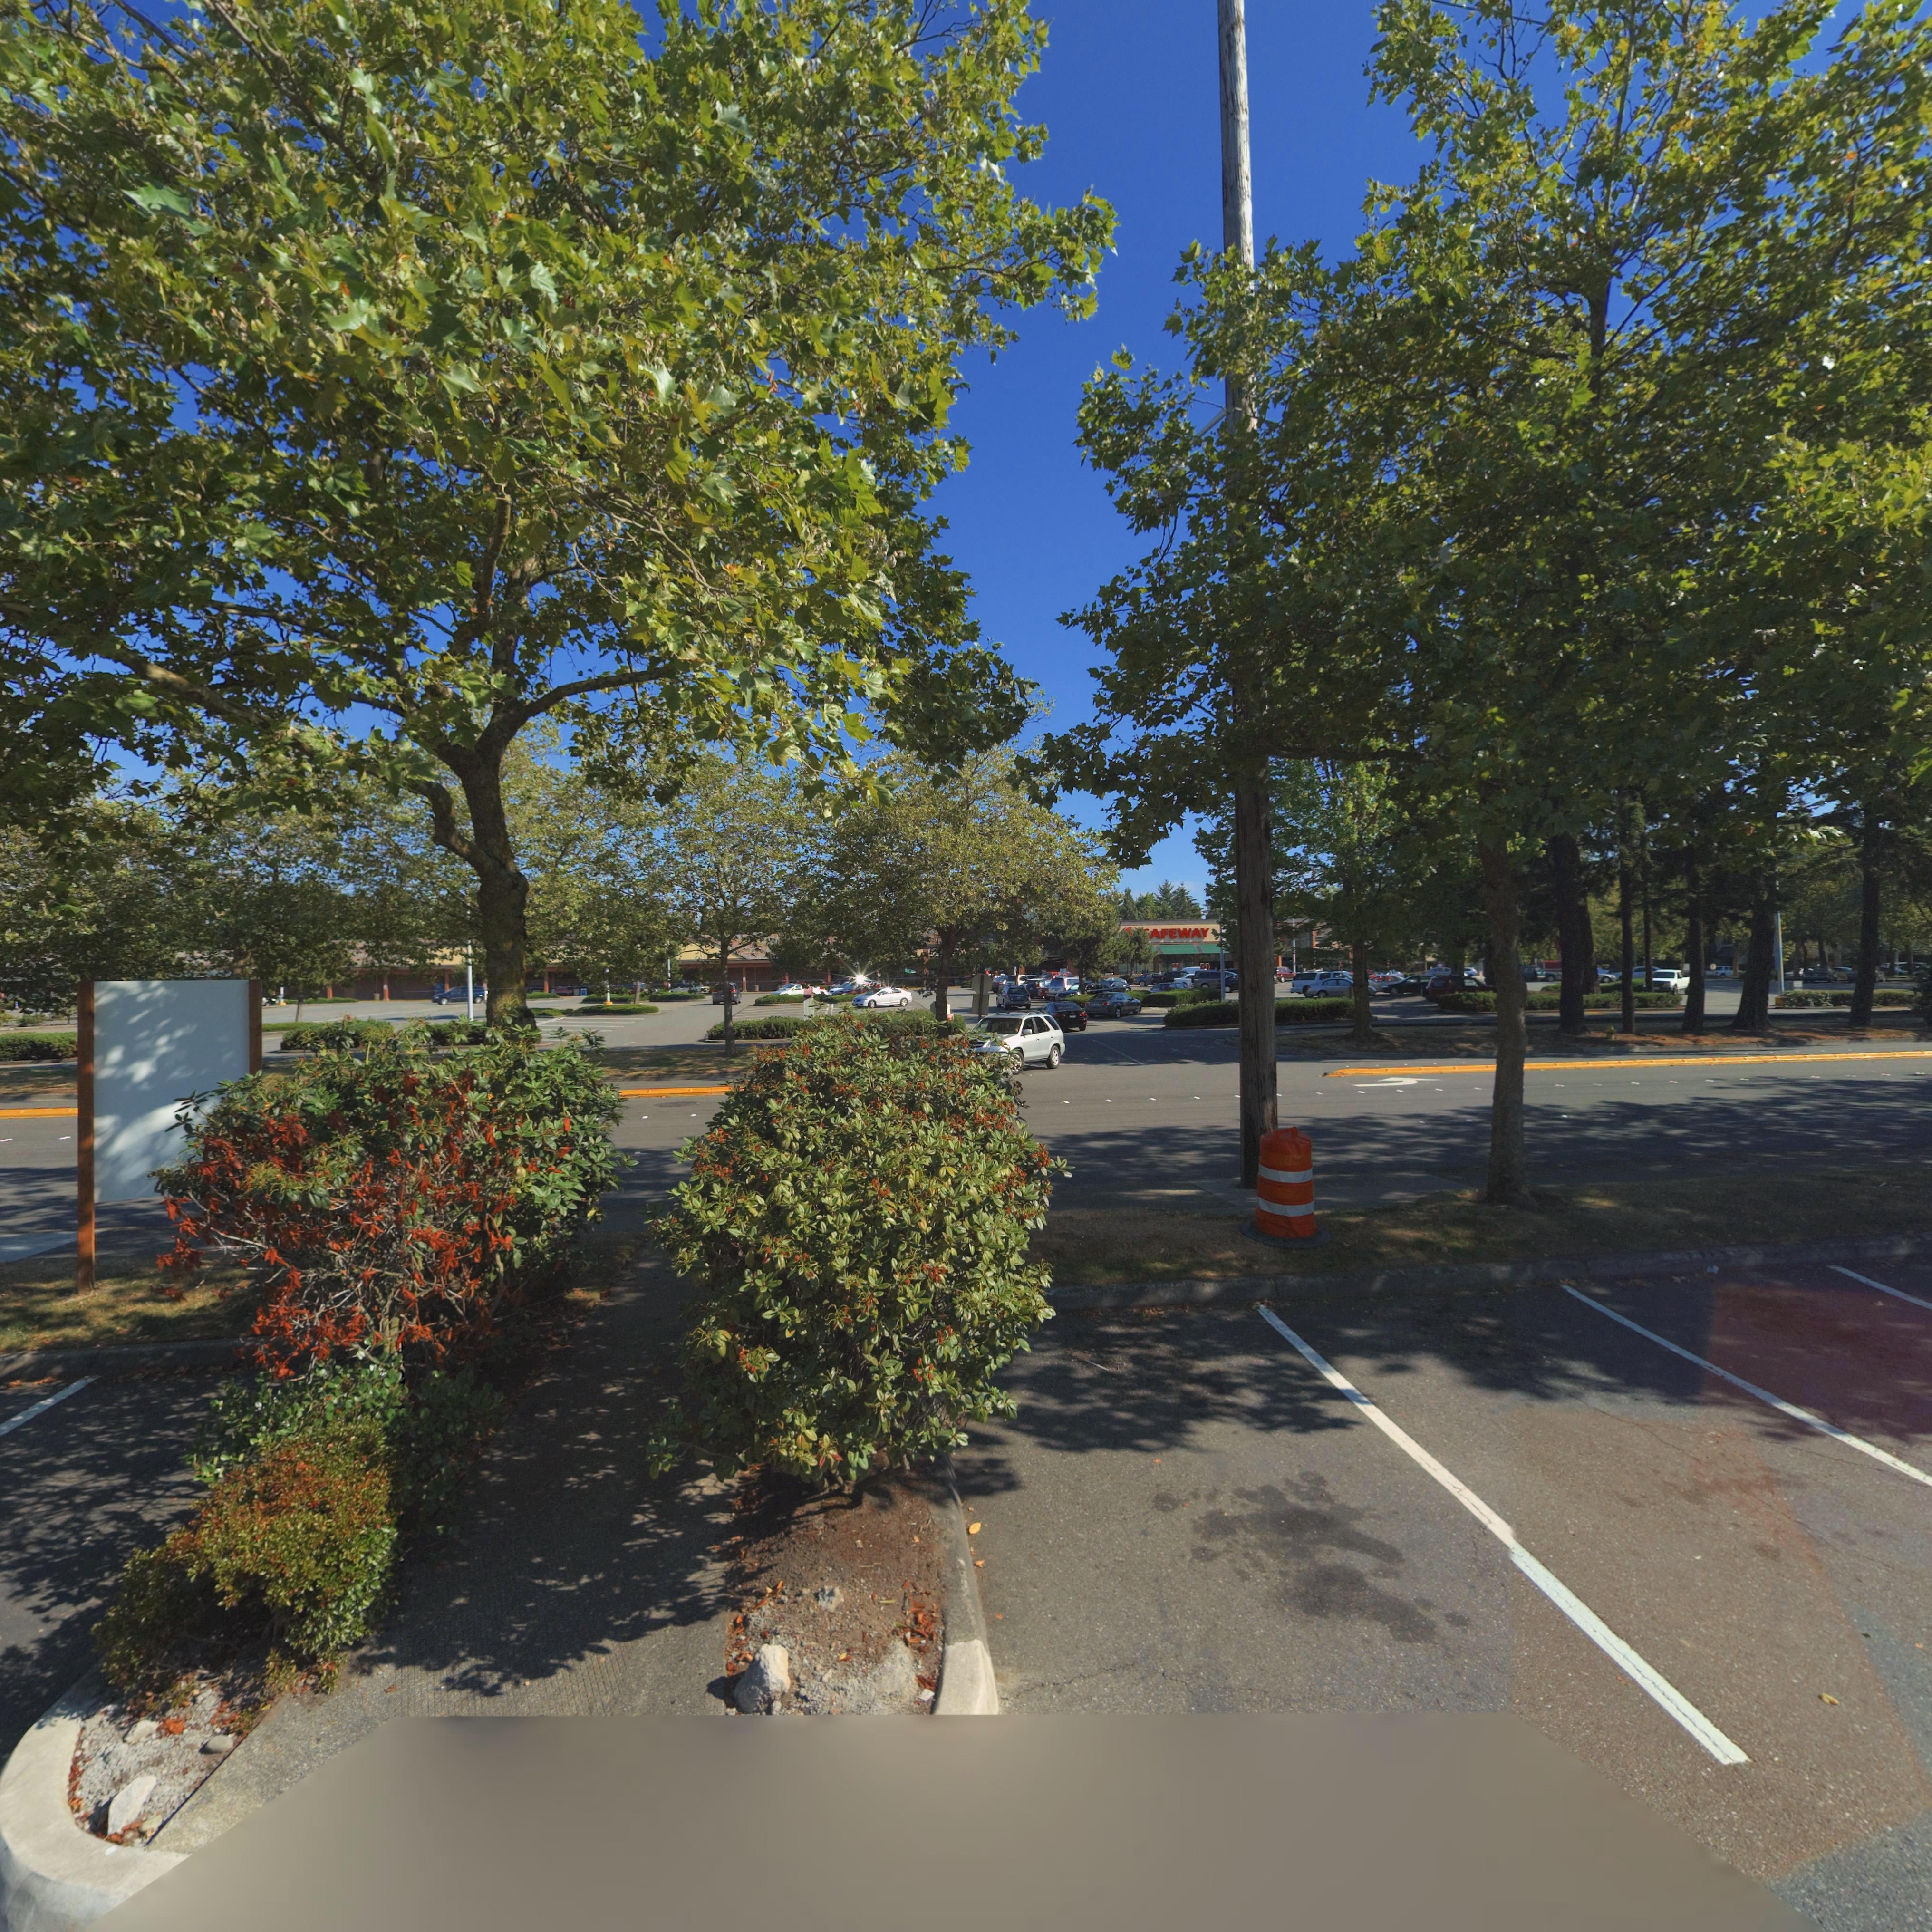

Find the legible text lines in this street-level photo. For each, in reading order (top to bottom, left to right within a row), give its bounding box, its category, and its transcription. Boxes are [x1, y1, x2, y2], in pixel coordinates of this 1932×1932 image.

[1149, 927, 1210, 939] BusinessName: AFEWAY